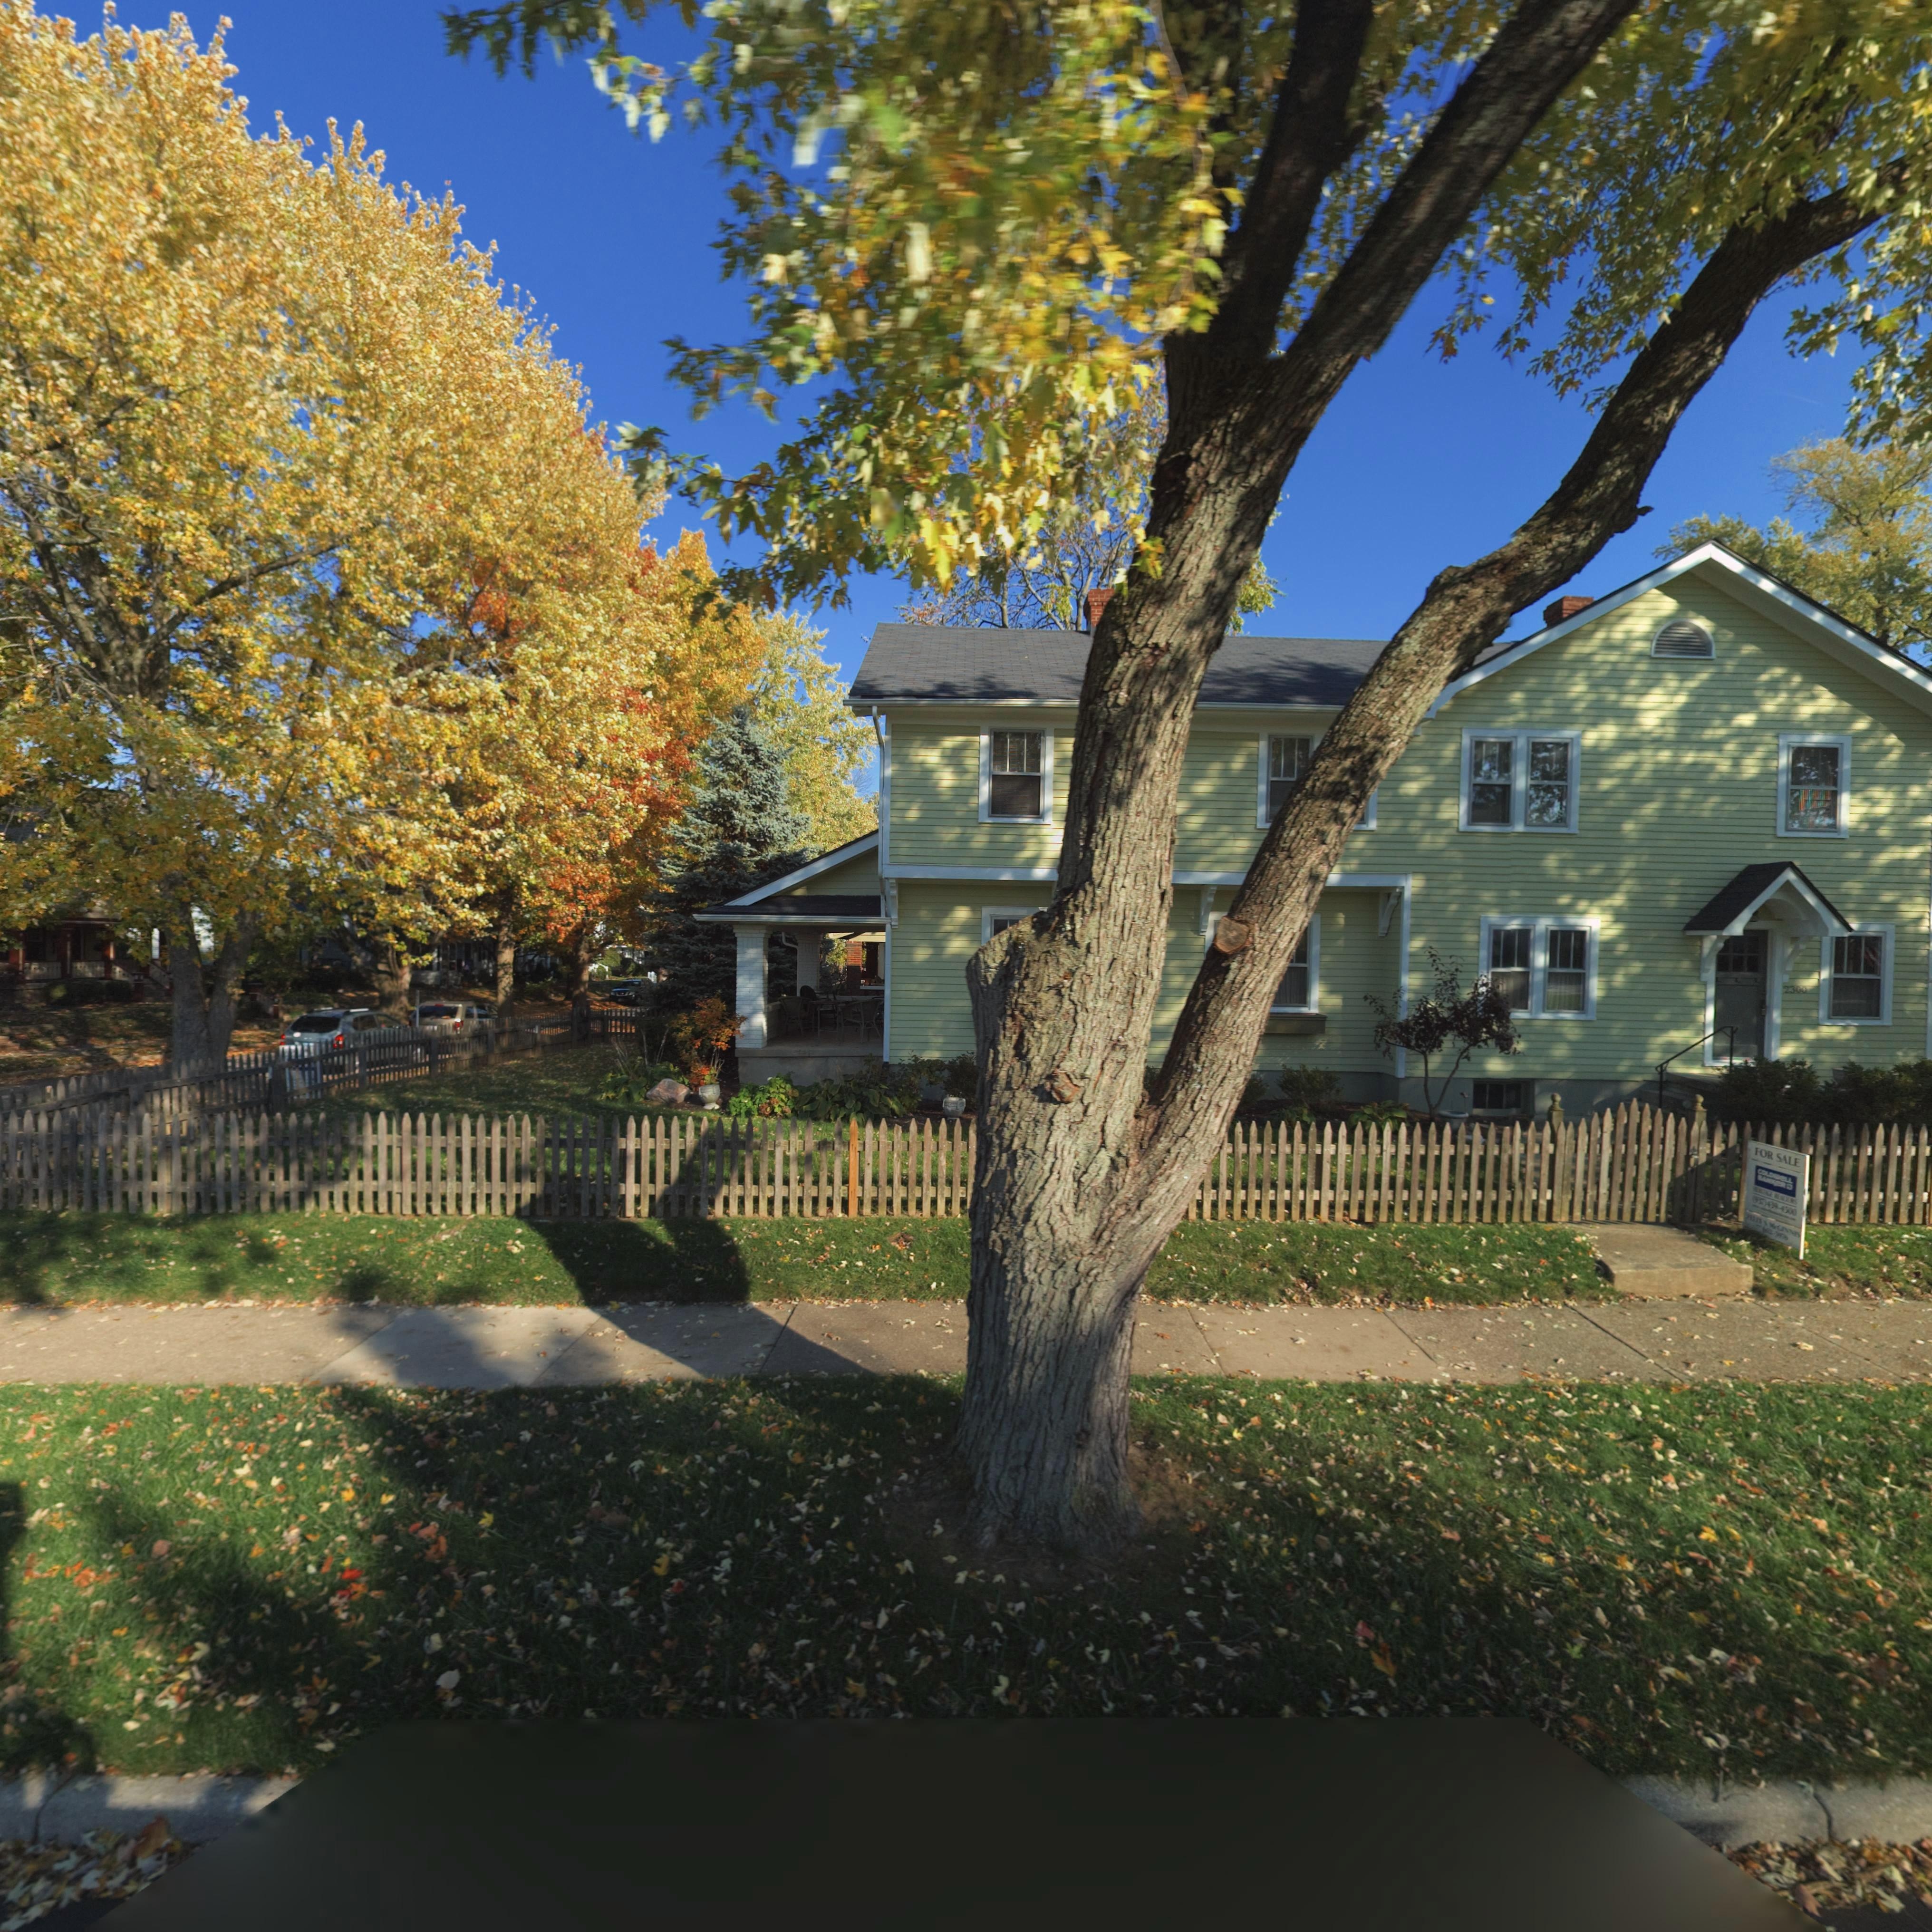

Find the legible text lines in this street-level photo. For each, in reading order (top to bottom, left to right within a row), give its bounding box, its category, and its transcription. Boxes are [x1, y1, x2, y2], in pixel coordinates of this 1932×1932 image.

[1783, 984, 1808, 995] StreetNumber: 2300